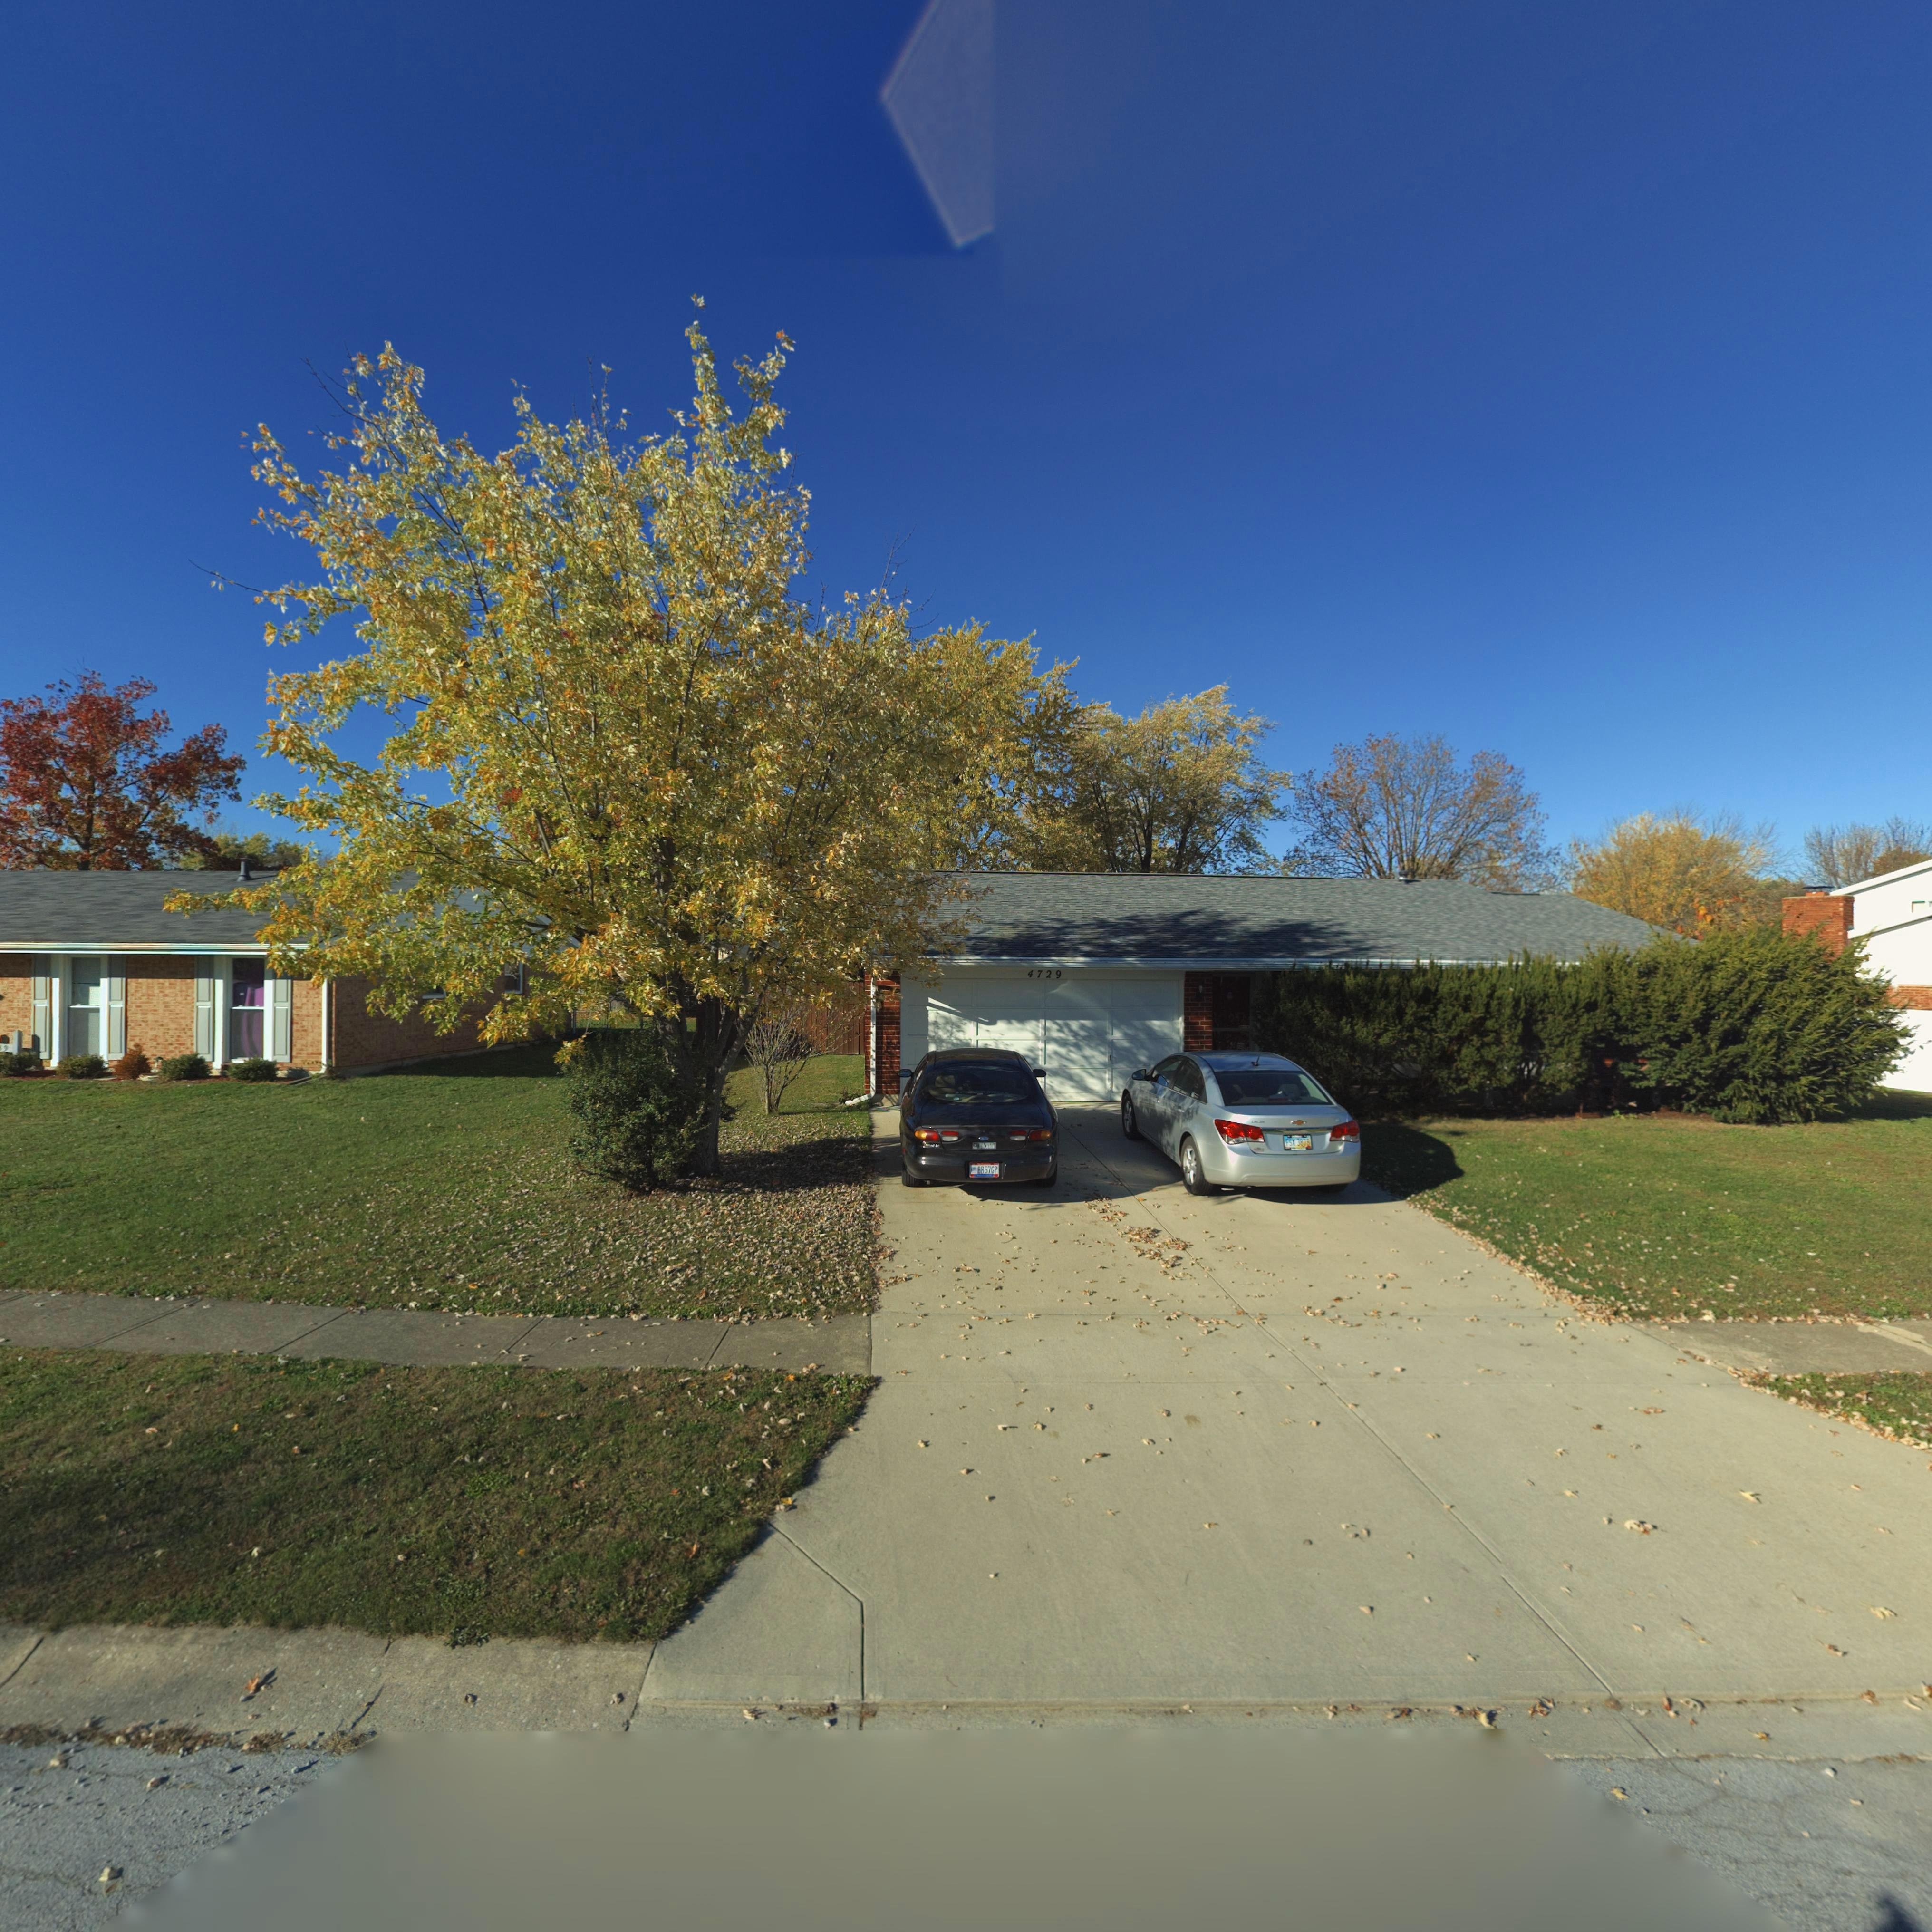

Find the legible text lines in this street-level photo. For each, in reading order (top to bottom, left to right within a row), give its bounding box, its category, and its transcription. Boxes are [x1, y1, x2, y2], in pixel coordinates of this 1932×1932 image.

[1026, 969, 1063, 979] StreetNumber: 4729
[2, 1044, 10, 1052] StreetNumber: 9